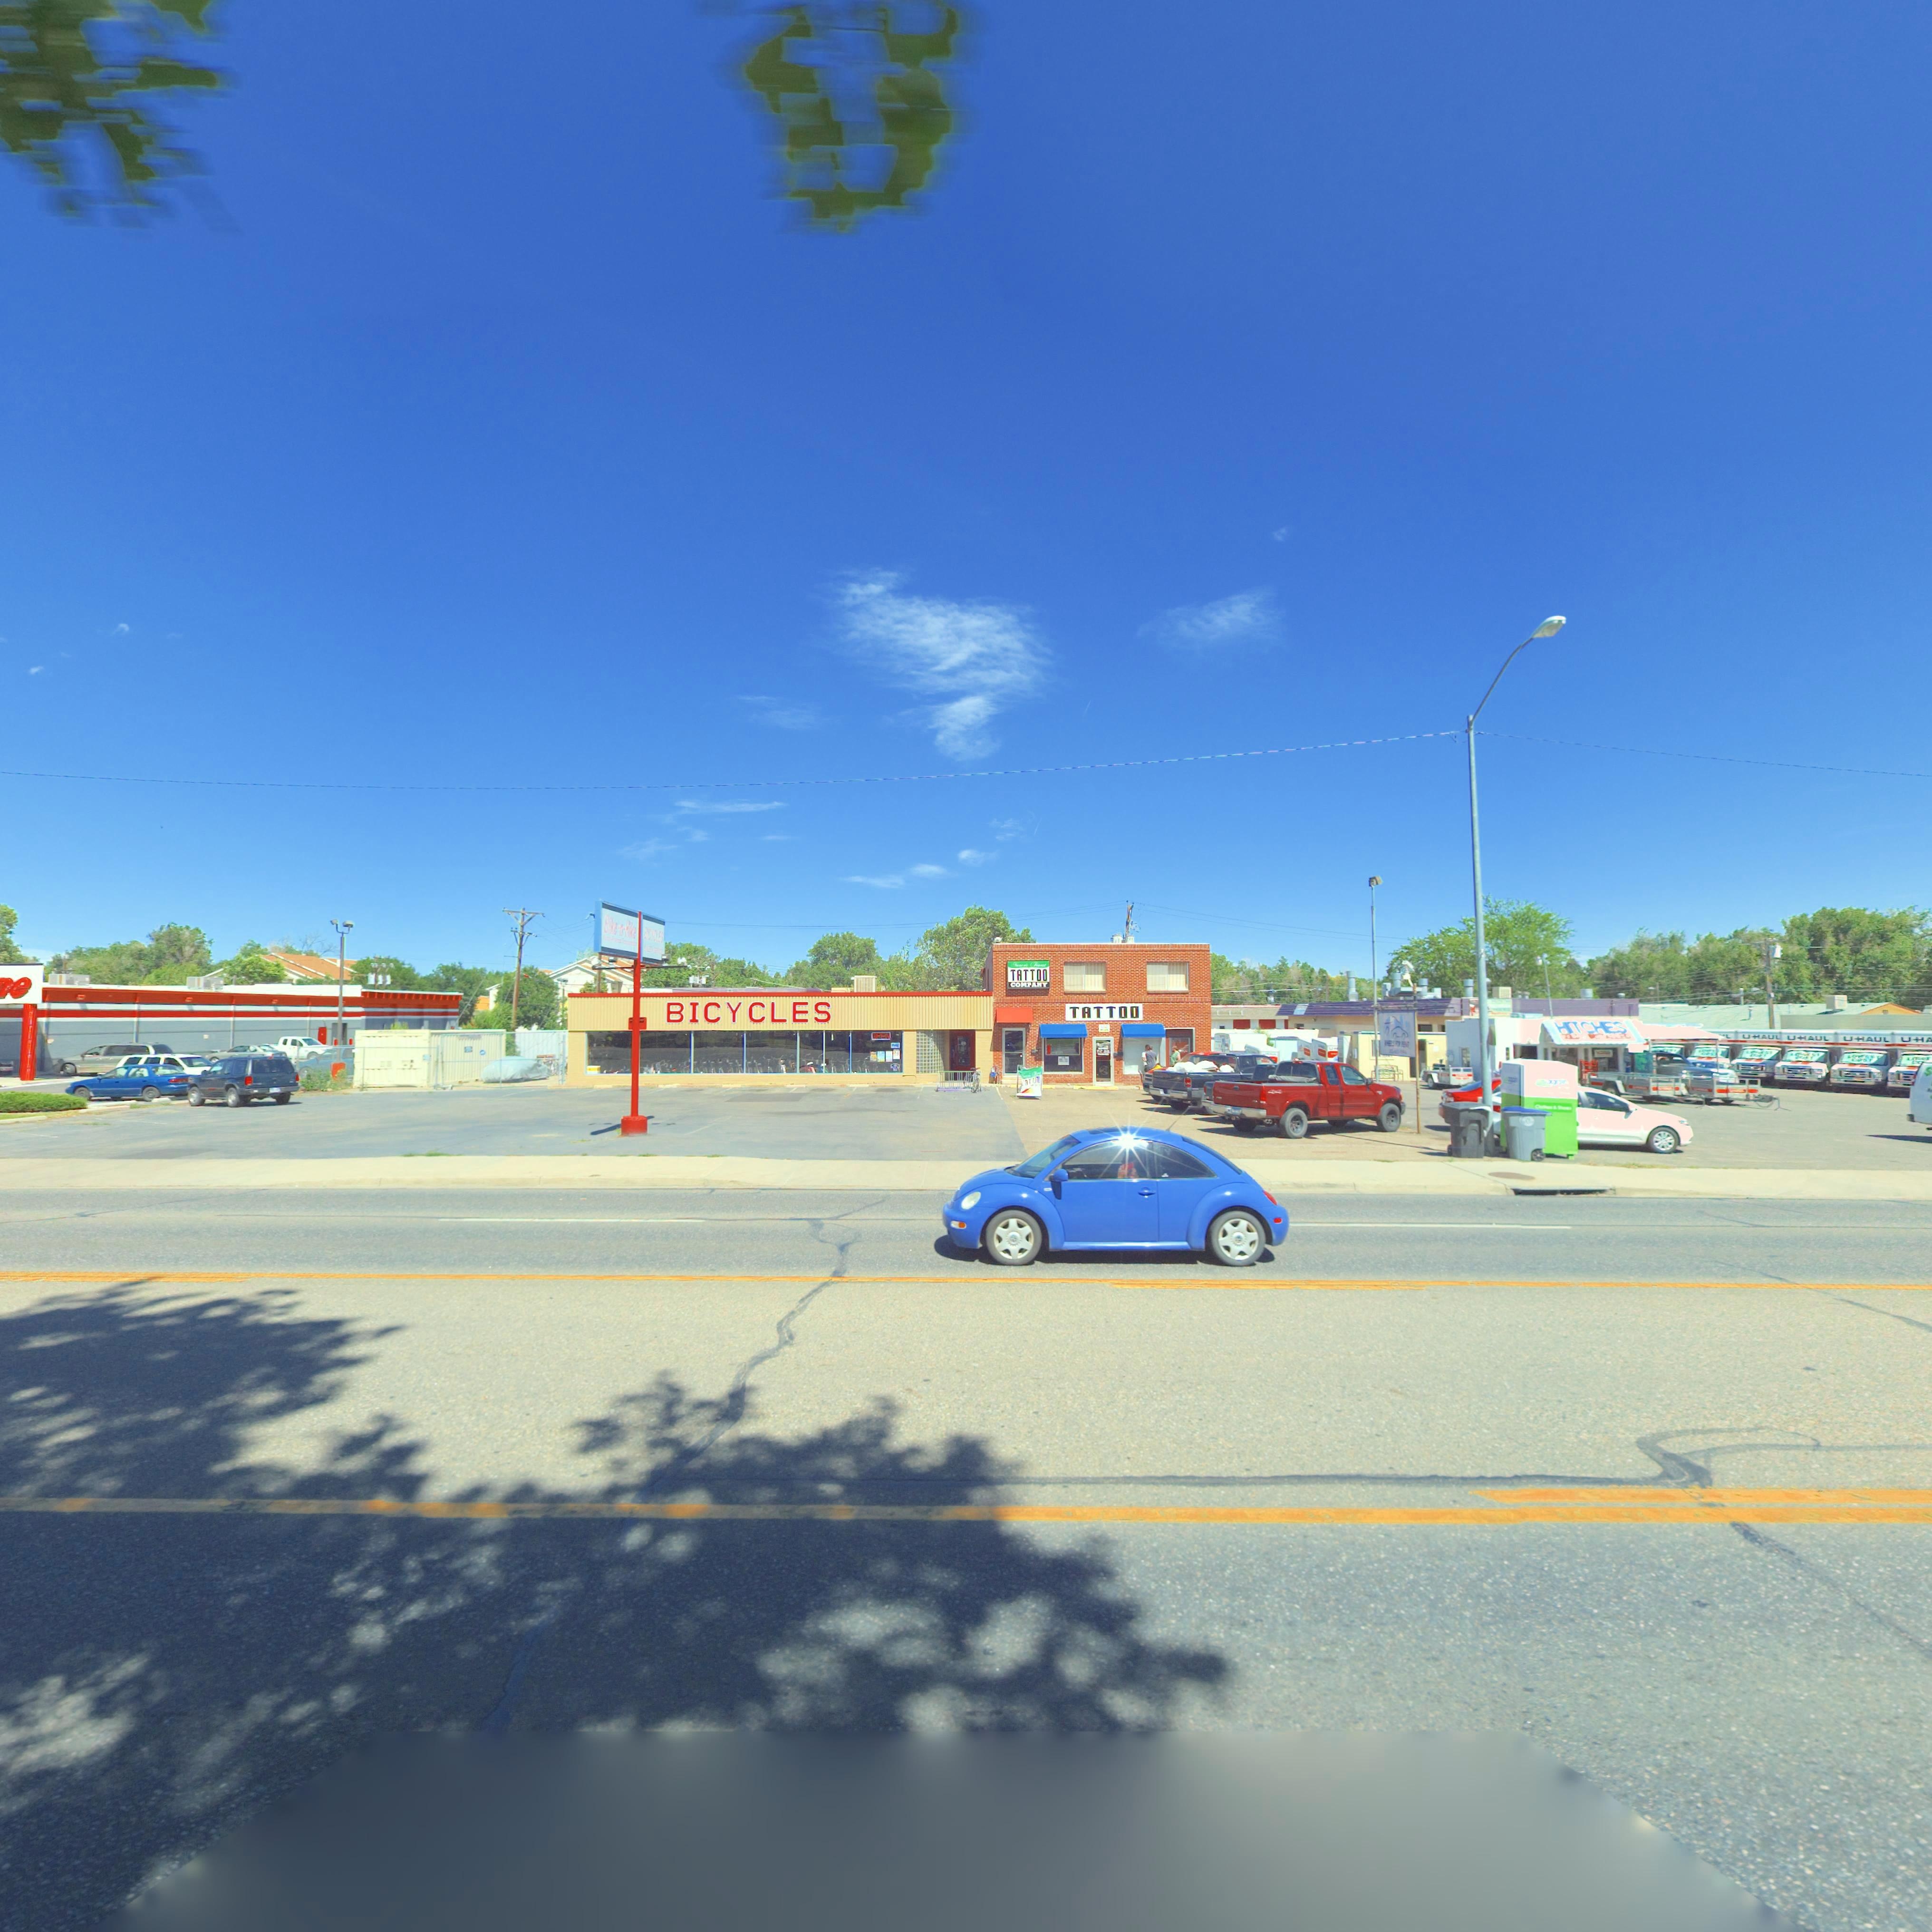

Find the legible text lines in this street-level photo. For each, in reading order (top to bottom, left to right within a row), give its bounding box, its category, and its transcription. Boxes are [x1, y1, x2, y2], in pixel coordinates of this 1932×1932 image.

[602, 912, 637, 940] BusinessName: Bike*n*Hike
[1013, 961, 1047, 967] BusinessName: T**** *****
[1009, 968, 1048, 981] BusinessName: TATTOO
[8, 976, 33, 999] BusinessName: e
[1009, 982, 1048, 988] BusinessName: COMPANY
[1068, 1005, 1140, 1019] BusinessName: TATTOO
[1383, 1039, 1410, 1048] BusinessName: **EE** *** *ENT